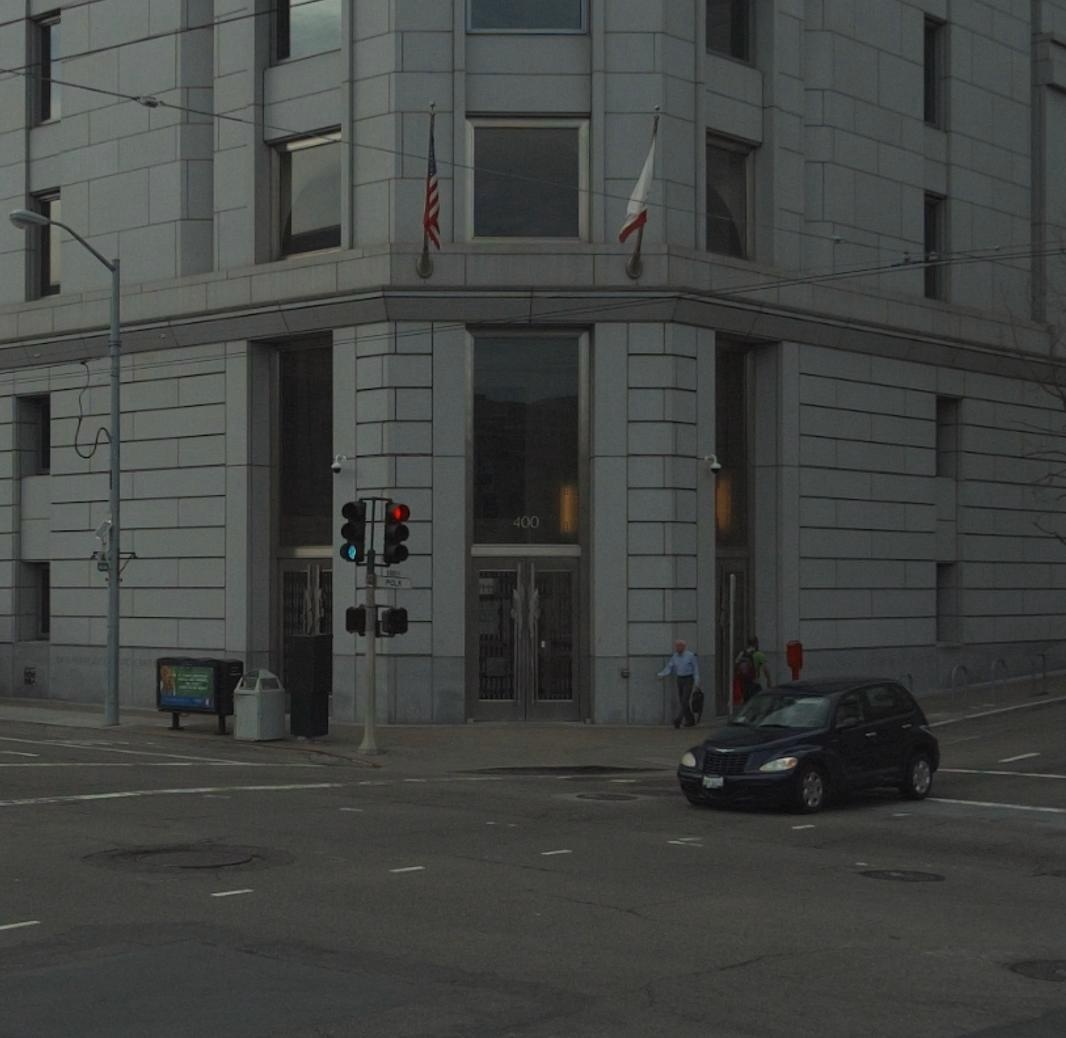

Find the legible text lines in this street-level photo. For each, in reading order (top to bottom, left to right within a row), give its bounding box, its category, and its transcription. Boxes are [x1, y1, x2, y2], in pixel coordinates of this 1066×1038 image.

[512, 514, 540, 529] StreetNumber: 400